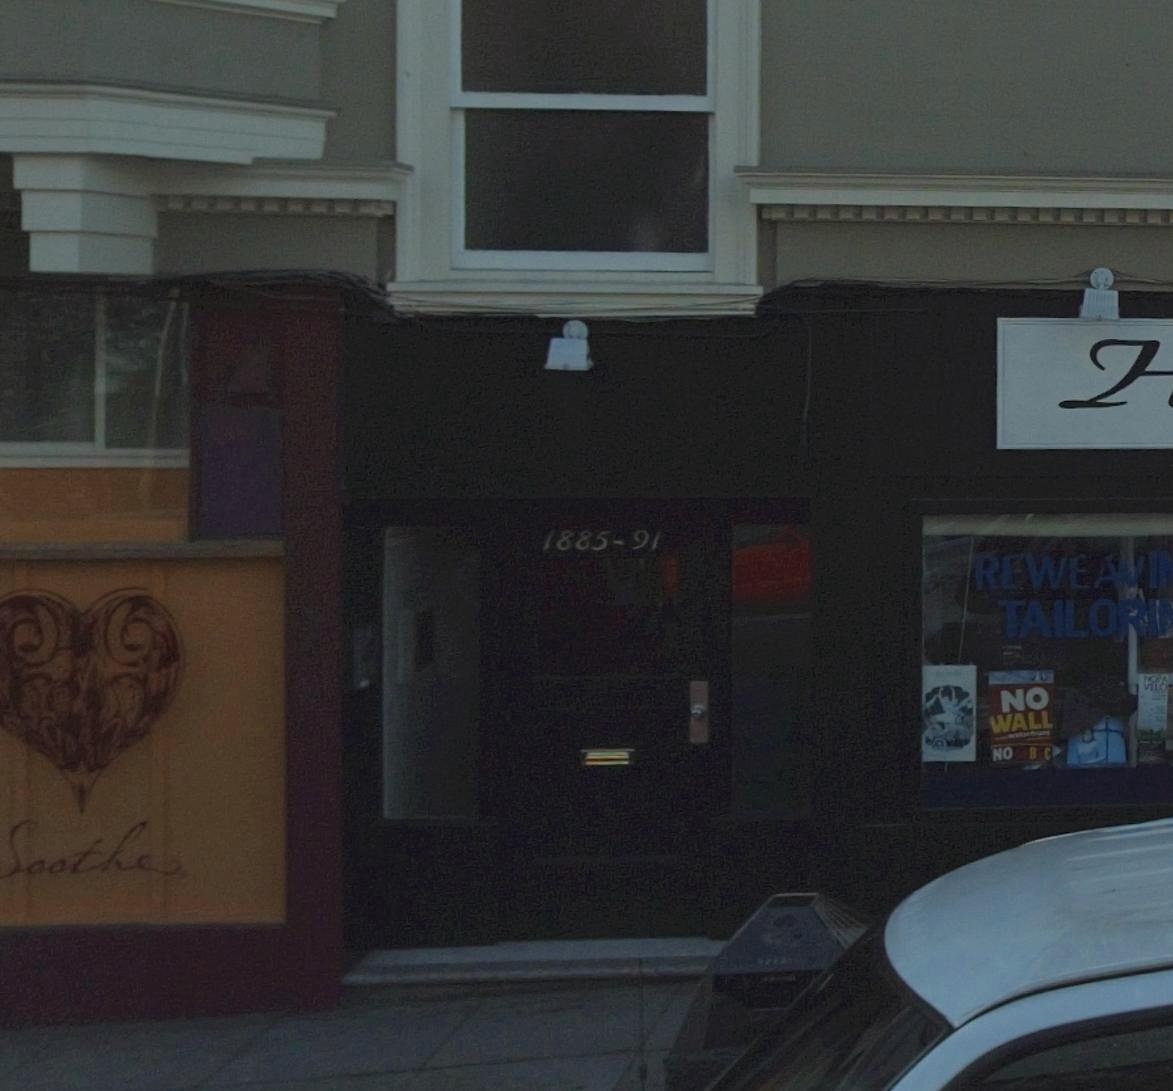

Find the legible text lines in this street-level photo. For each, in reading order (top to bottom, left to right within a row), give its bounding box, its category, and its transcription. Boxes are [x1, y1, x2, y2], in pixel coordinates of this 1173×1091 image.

[538, 525, 663, 554] StreetNumber: 1885-91
[972, 547, 1173, 595] None: REWE***
[989, 594, 1163, 642] None: TAILORI
[998, 684, 1053, 715] None: NO
[1140, 681, 1170, 693] None: V*LO\
[985, 708, 1056, 737] None: WALL
[989, 744, 1053, 764] None: NO*B*C
[25, 816, 154, 877] None: oothe